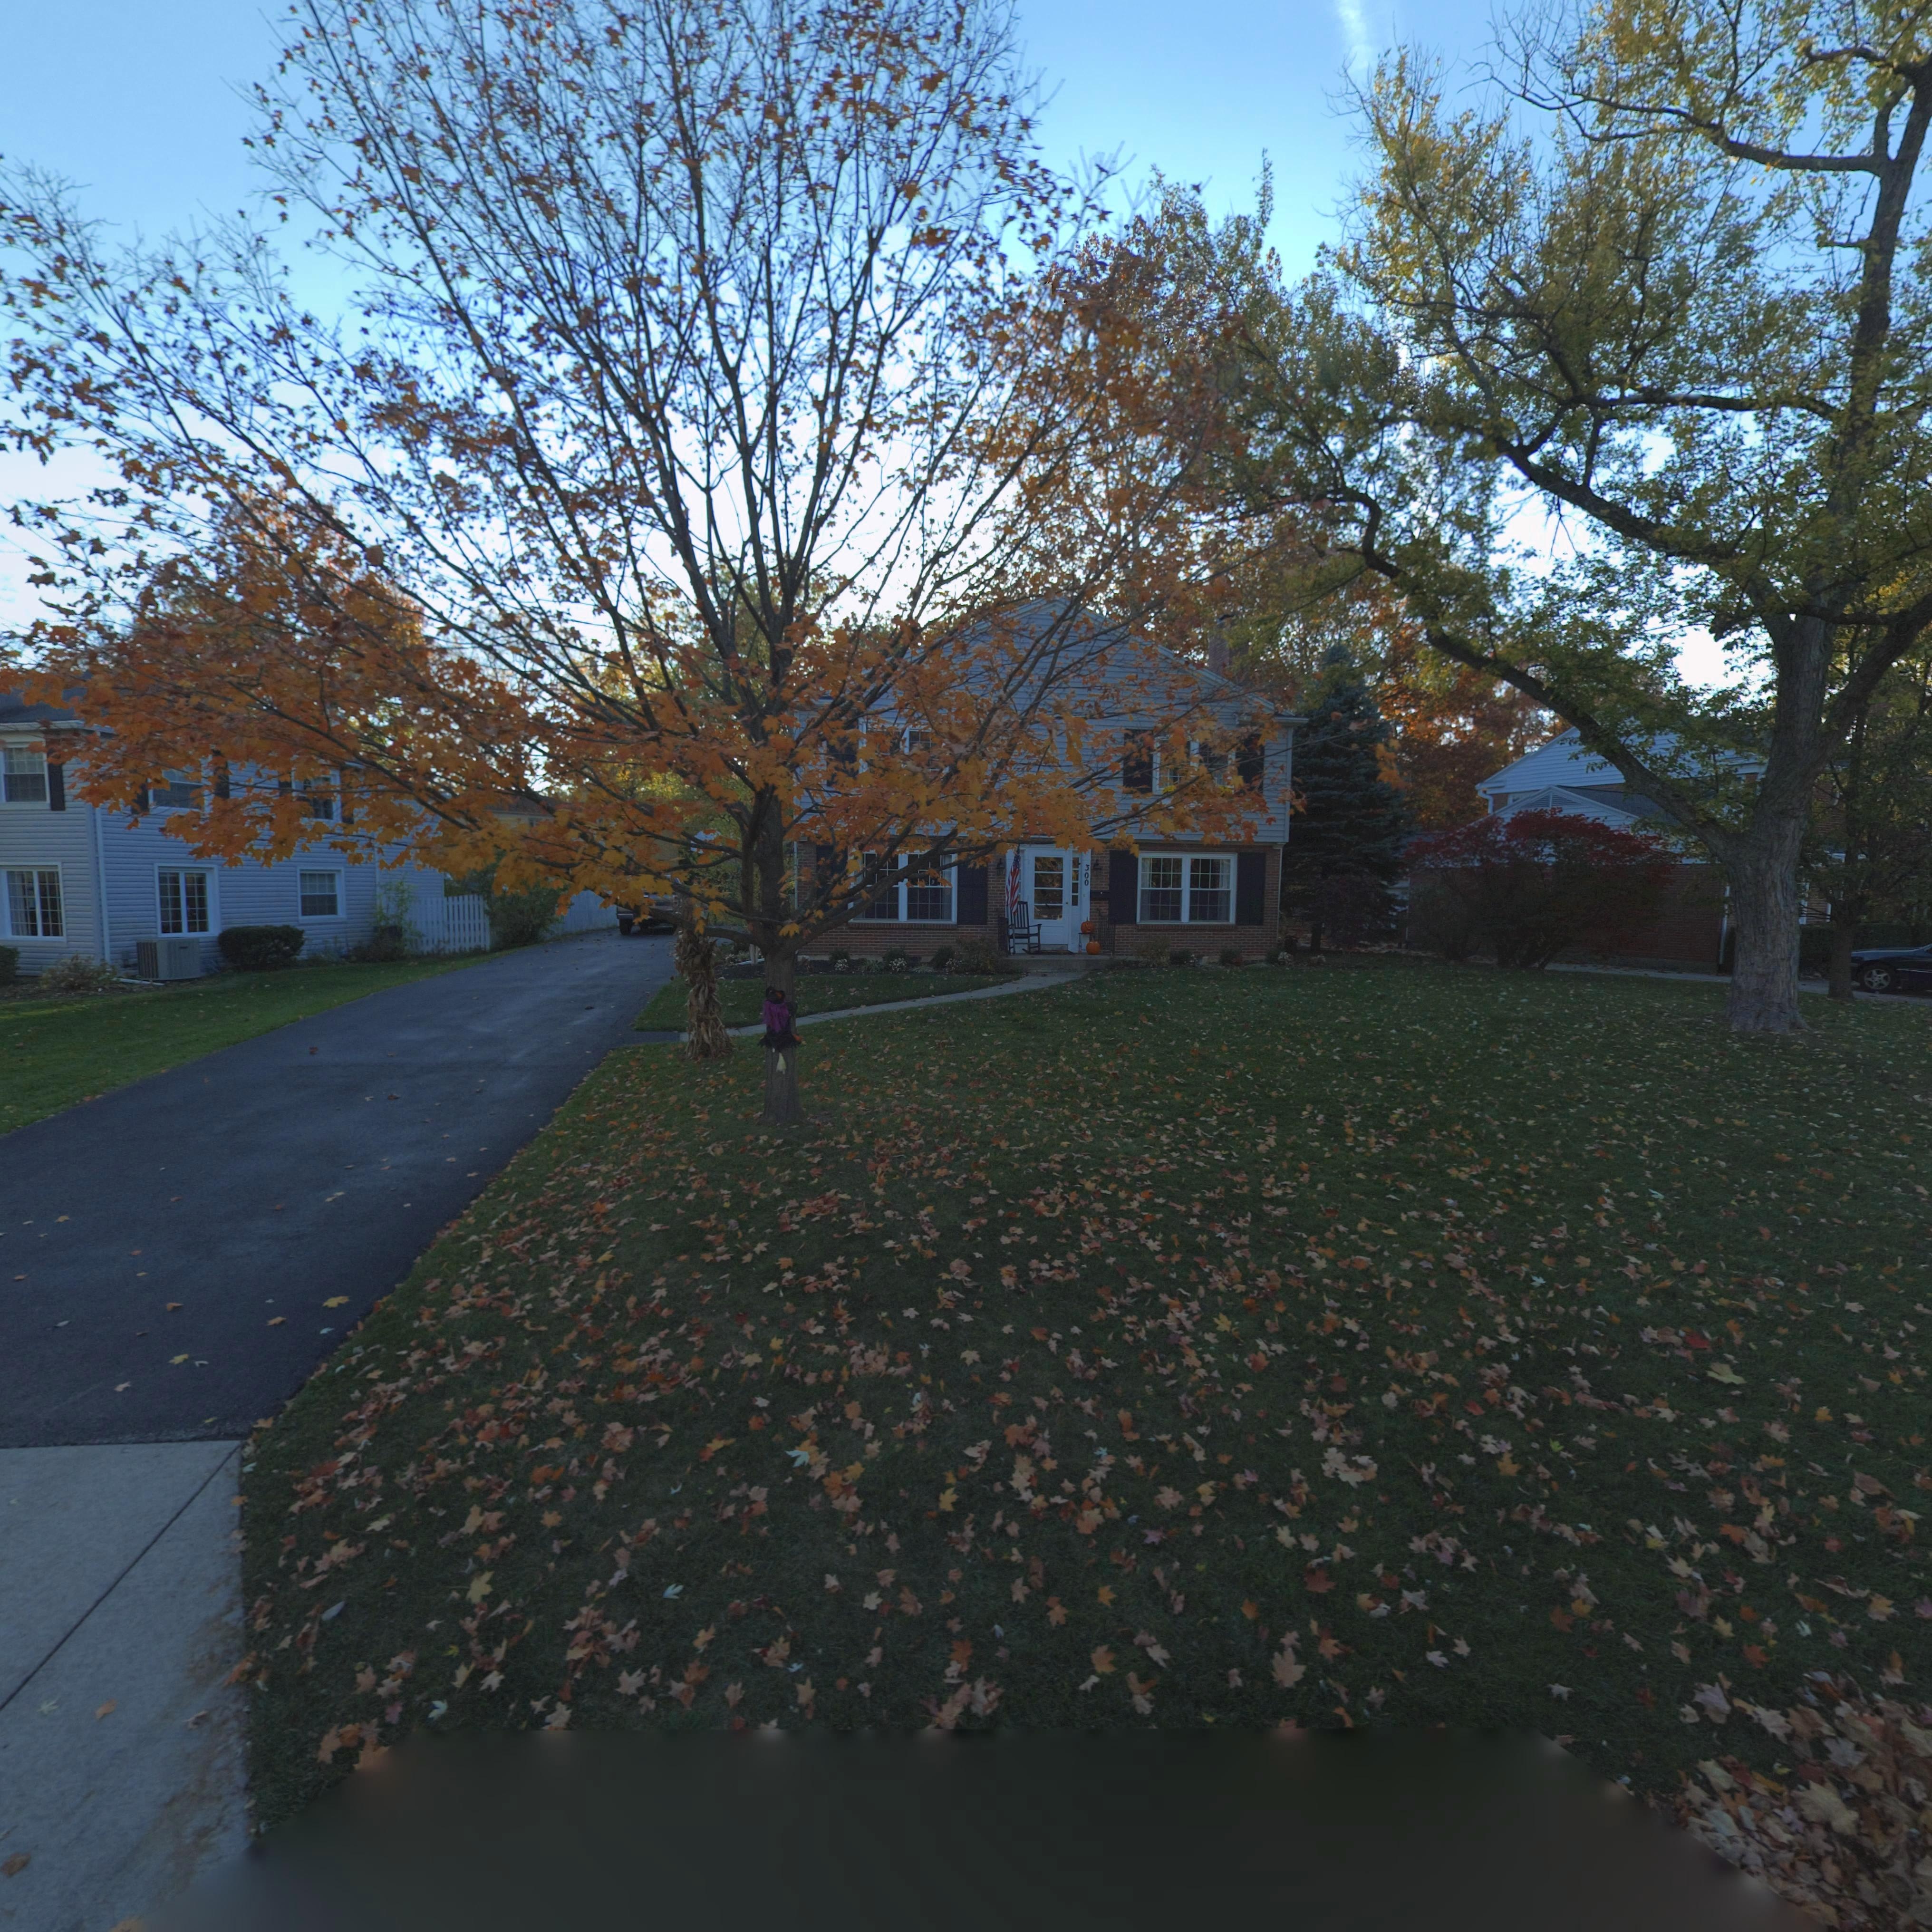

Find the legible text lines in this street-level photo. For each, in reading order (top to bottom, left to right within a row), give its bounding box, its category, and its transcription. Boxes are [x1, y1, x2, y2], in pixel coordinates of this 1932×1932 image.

[1083, 863, 1090, 887] StreetNumber: 300